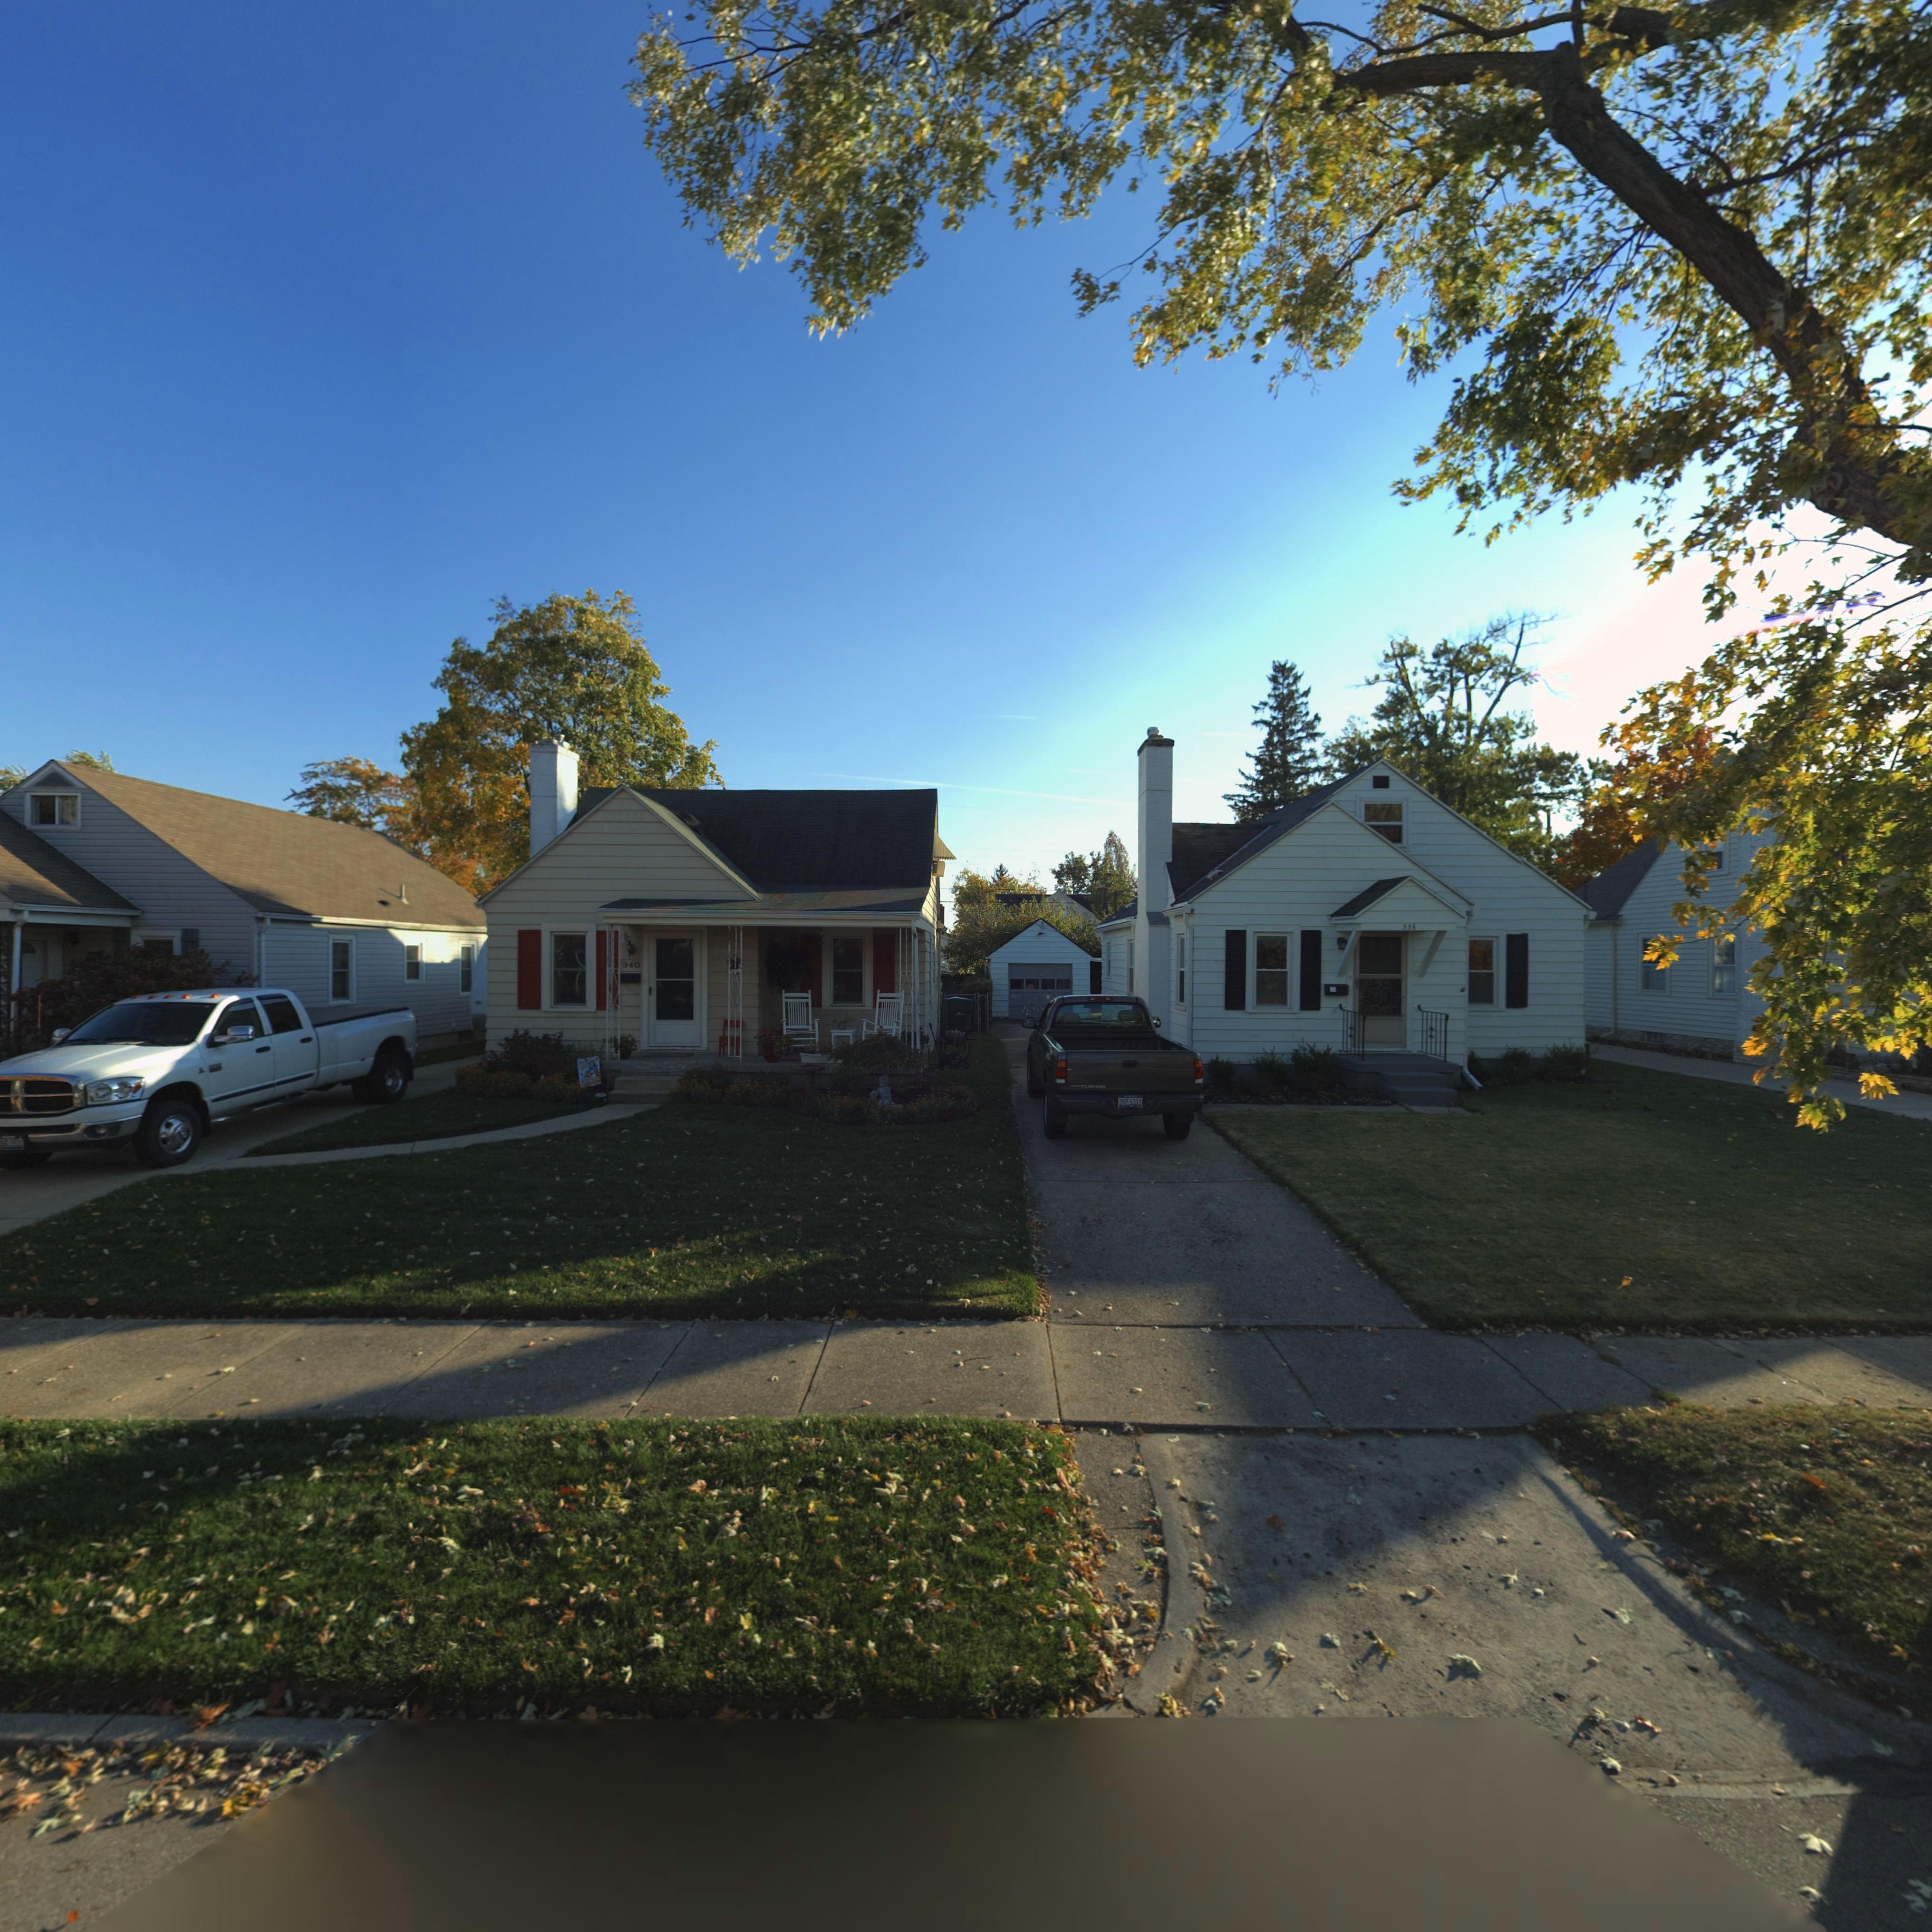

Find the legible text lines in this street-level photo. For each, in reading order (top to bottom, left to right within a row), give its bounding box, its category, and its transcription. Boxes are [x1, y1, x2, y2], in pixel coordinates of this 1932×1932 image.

[1402, 923, 1417, 931] StreetNumber: 336
[622, 961, 641, 968] StreetNumber: 340